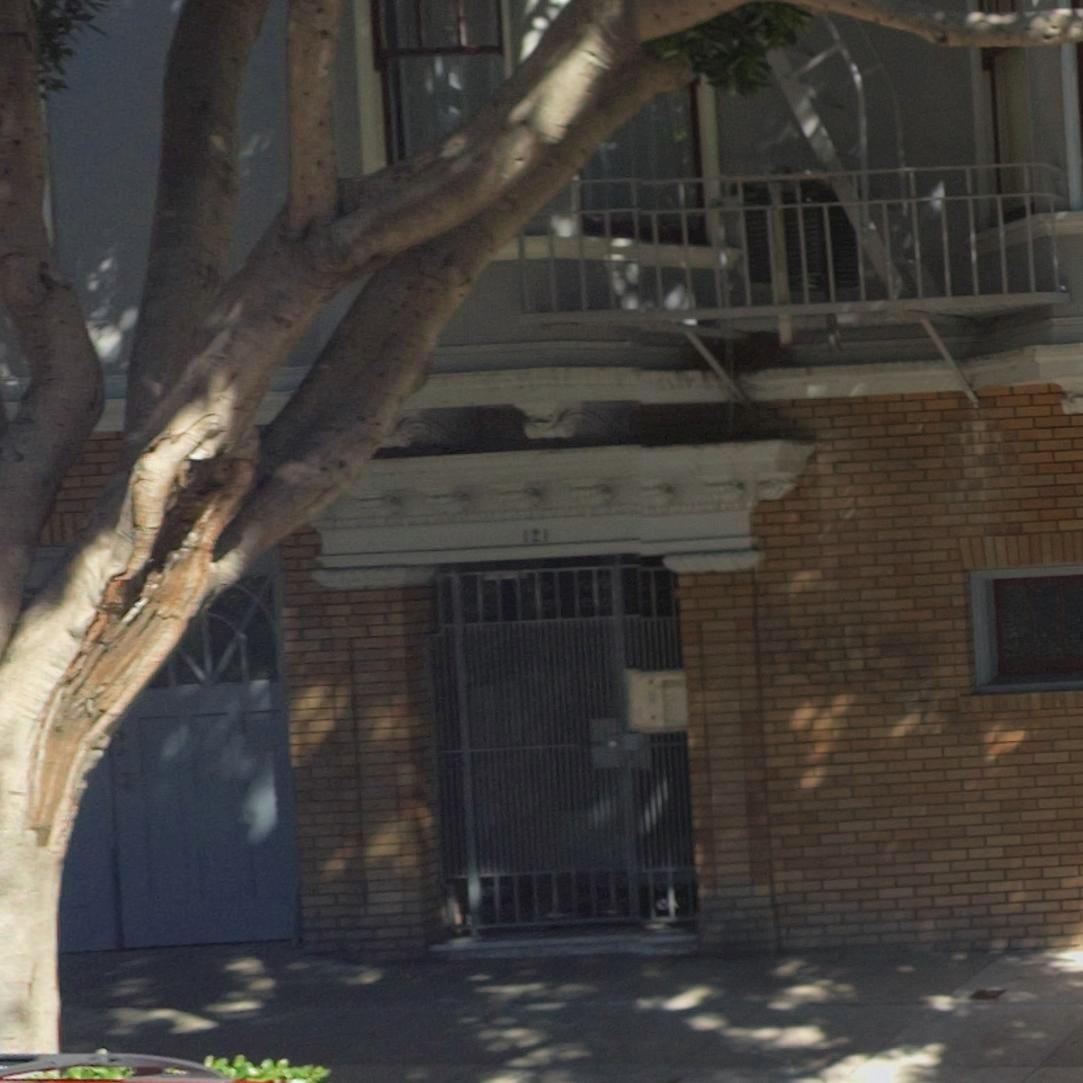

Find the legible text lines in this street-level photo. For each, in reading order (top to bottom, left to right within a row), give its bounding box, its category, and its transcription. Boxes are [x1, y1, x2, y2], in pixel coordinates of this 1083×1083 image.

[521, 527, 551, 545] StreetNumber: 121